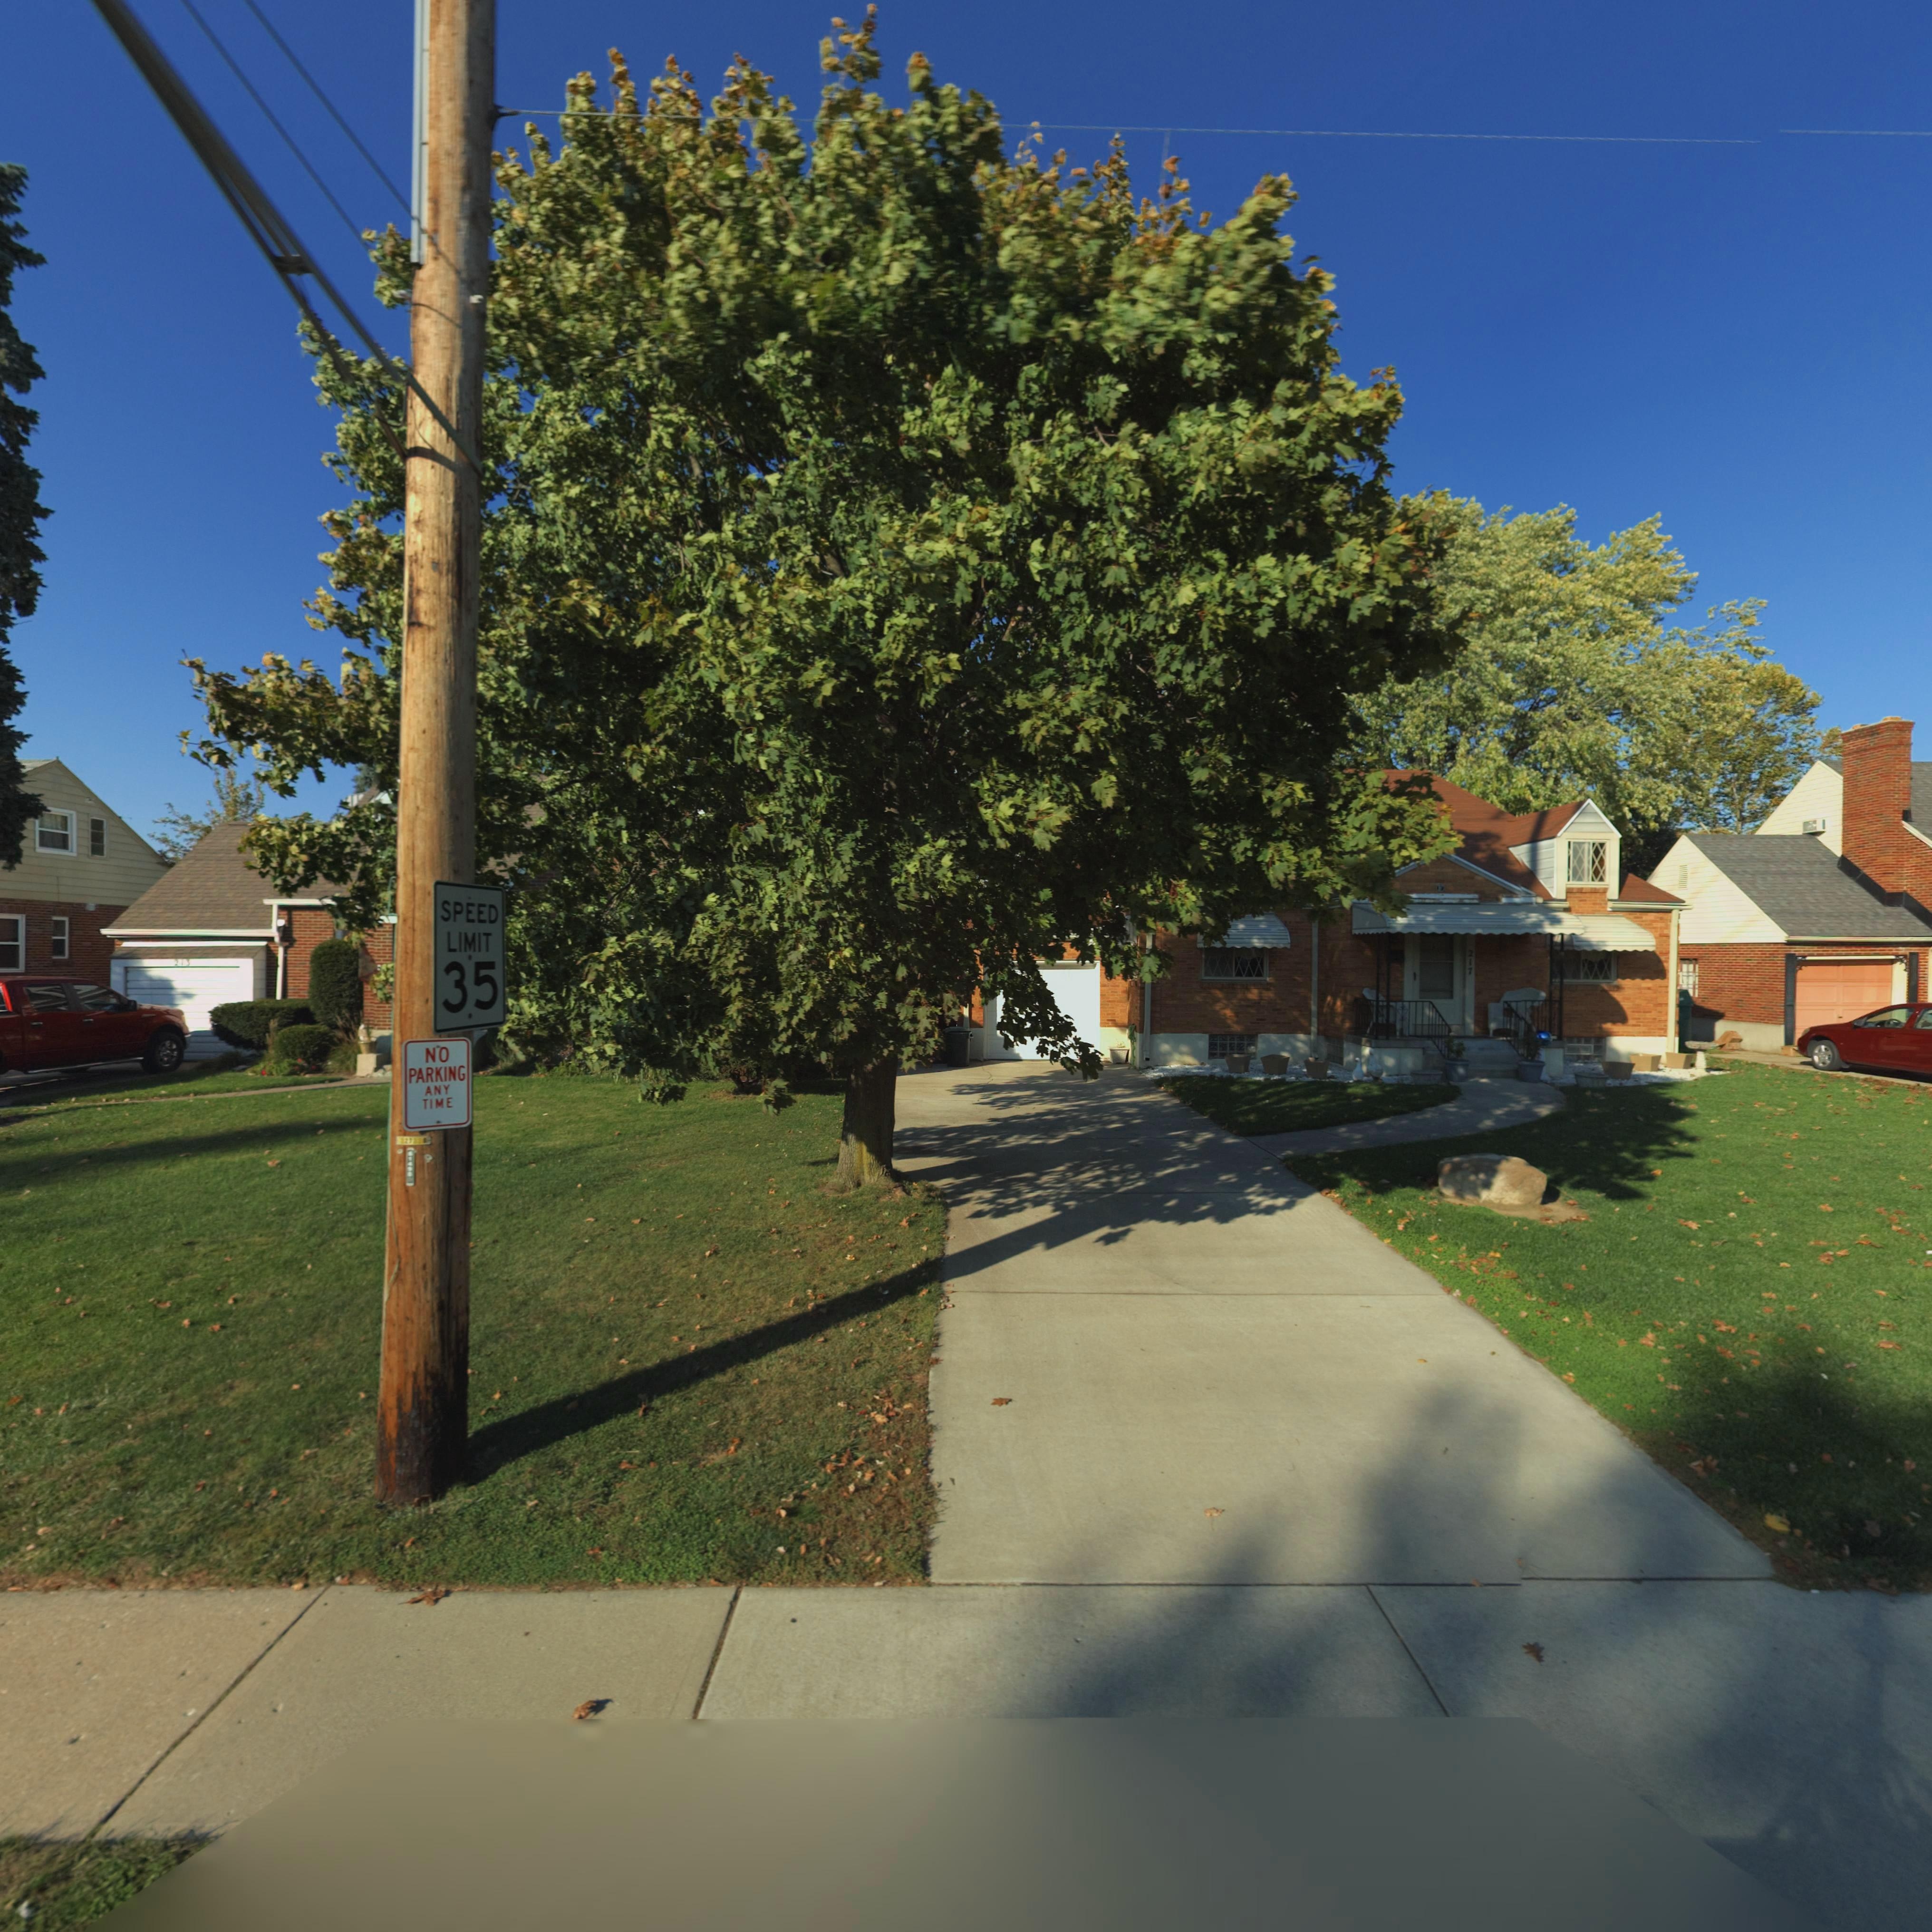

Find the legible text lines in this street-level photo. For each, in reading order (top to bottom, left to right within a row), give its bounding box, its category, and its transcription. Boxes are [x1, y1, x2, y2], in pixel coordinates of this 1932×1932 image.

[439, 898, 500, 926] None: SPEED
[446, 930, 494, 954] None: LIMIT
[173, 958, 191, 967] StreetNumber: 213
[1467, 948, 1474, 976] StreetNumber: 217
[440, 959, 501, 1016] None: 35
[423, 1044, 451, 1065] None: NO
[407, 1063, 467, 1086] None: PARKING
[423, 1082, 452, 1097] None: ANY
[420, 1096, 454, 1111] None: TIME